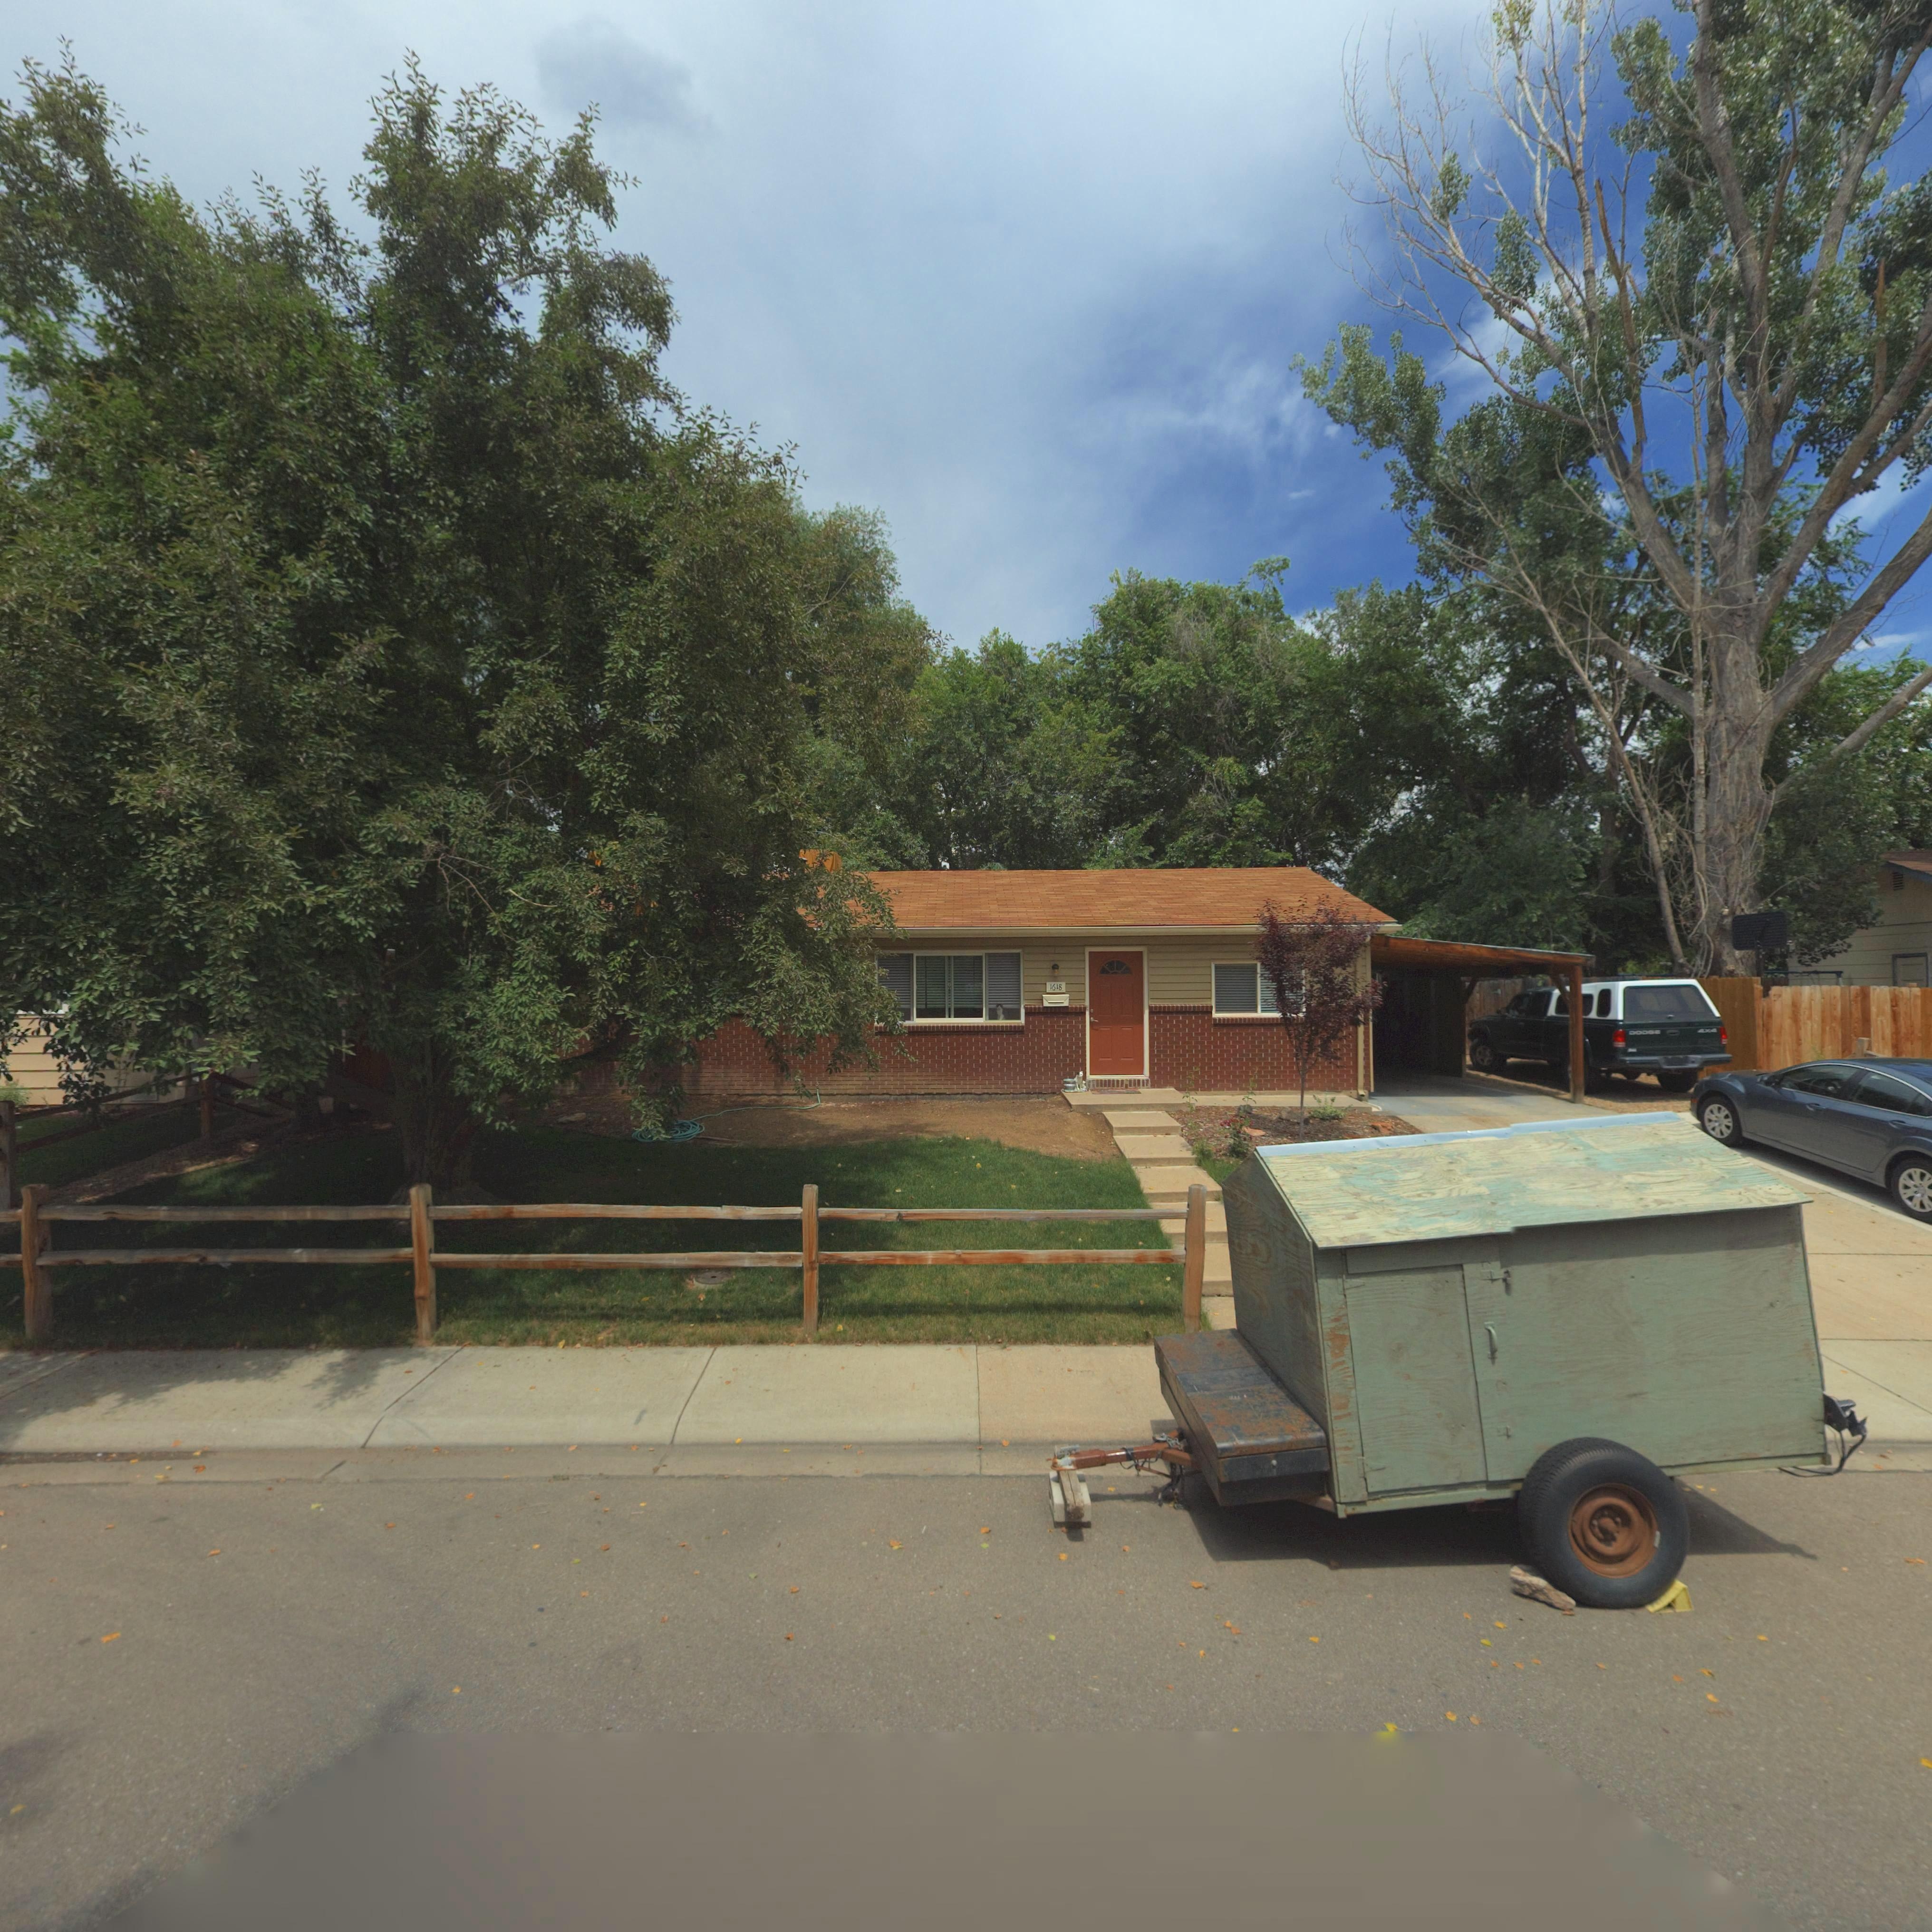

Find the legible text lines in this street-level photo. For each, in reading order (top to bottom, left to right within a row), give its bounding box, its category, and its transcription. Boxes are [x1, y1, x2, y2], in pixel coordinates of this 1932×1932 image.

[1049, 983, 1063, 991] StreetNumber: 1618